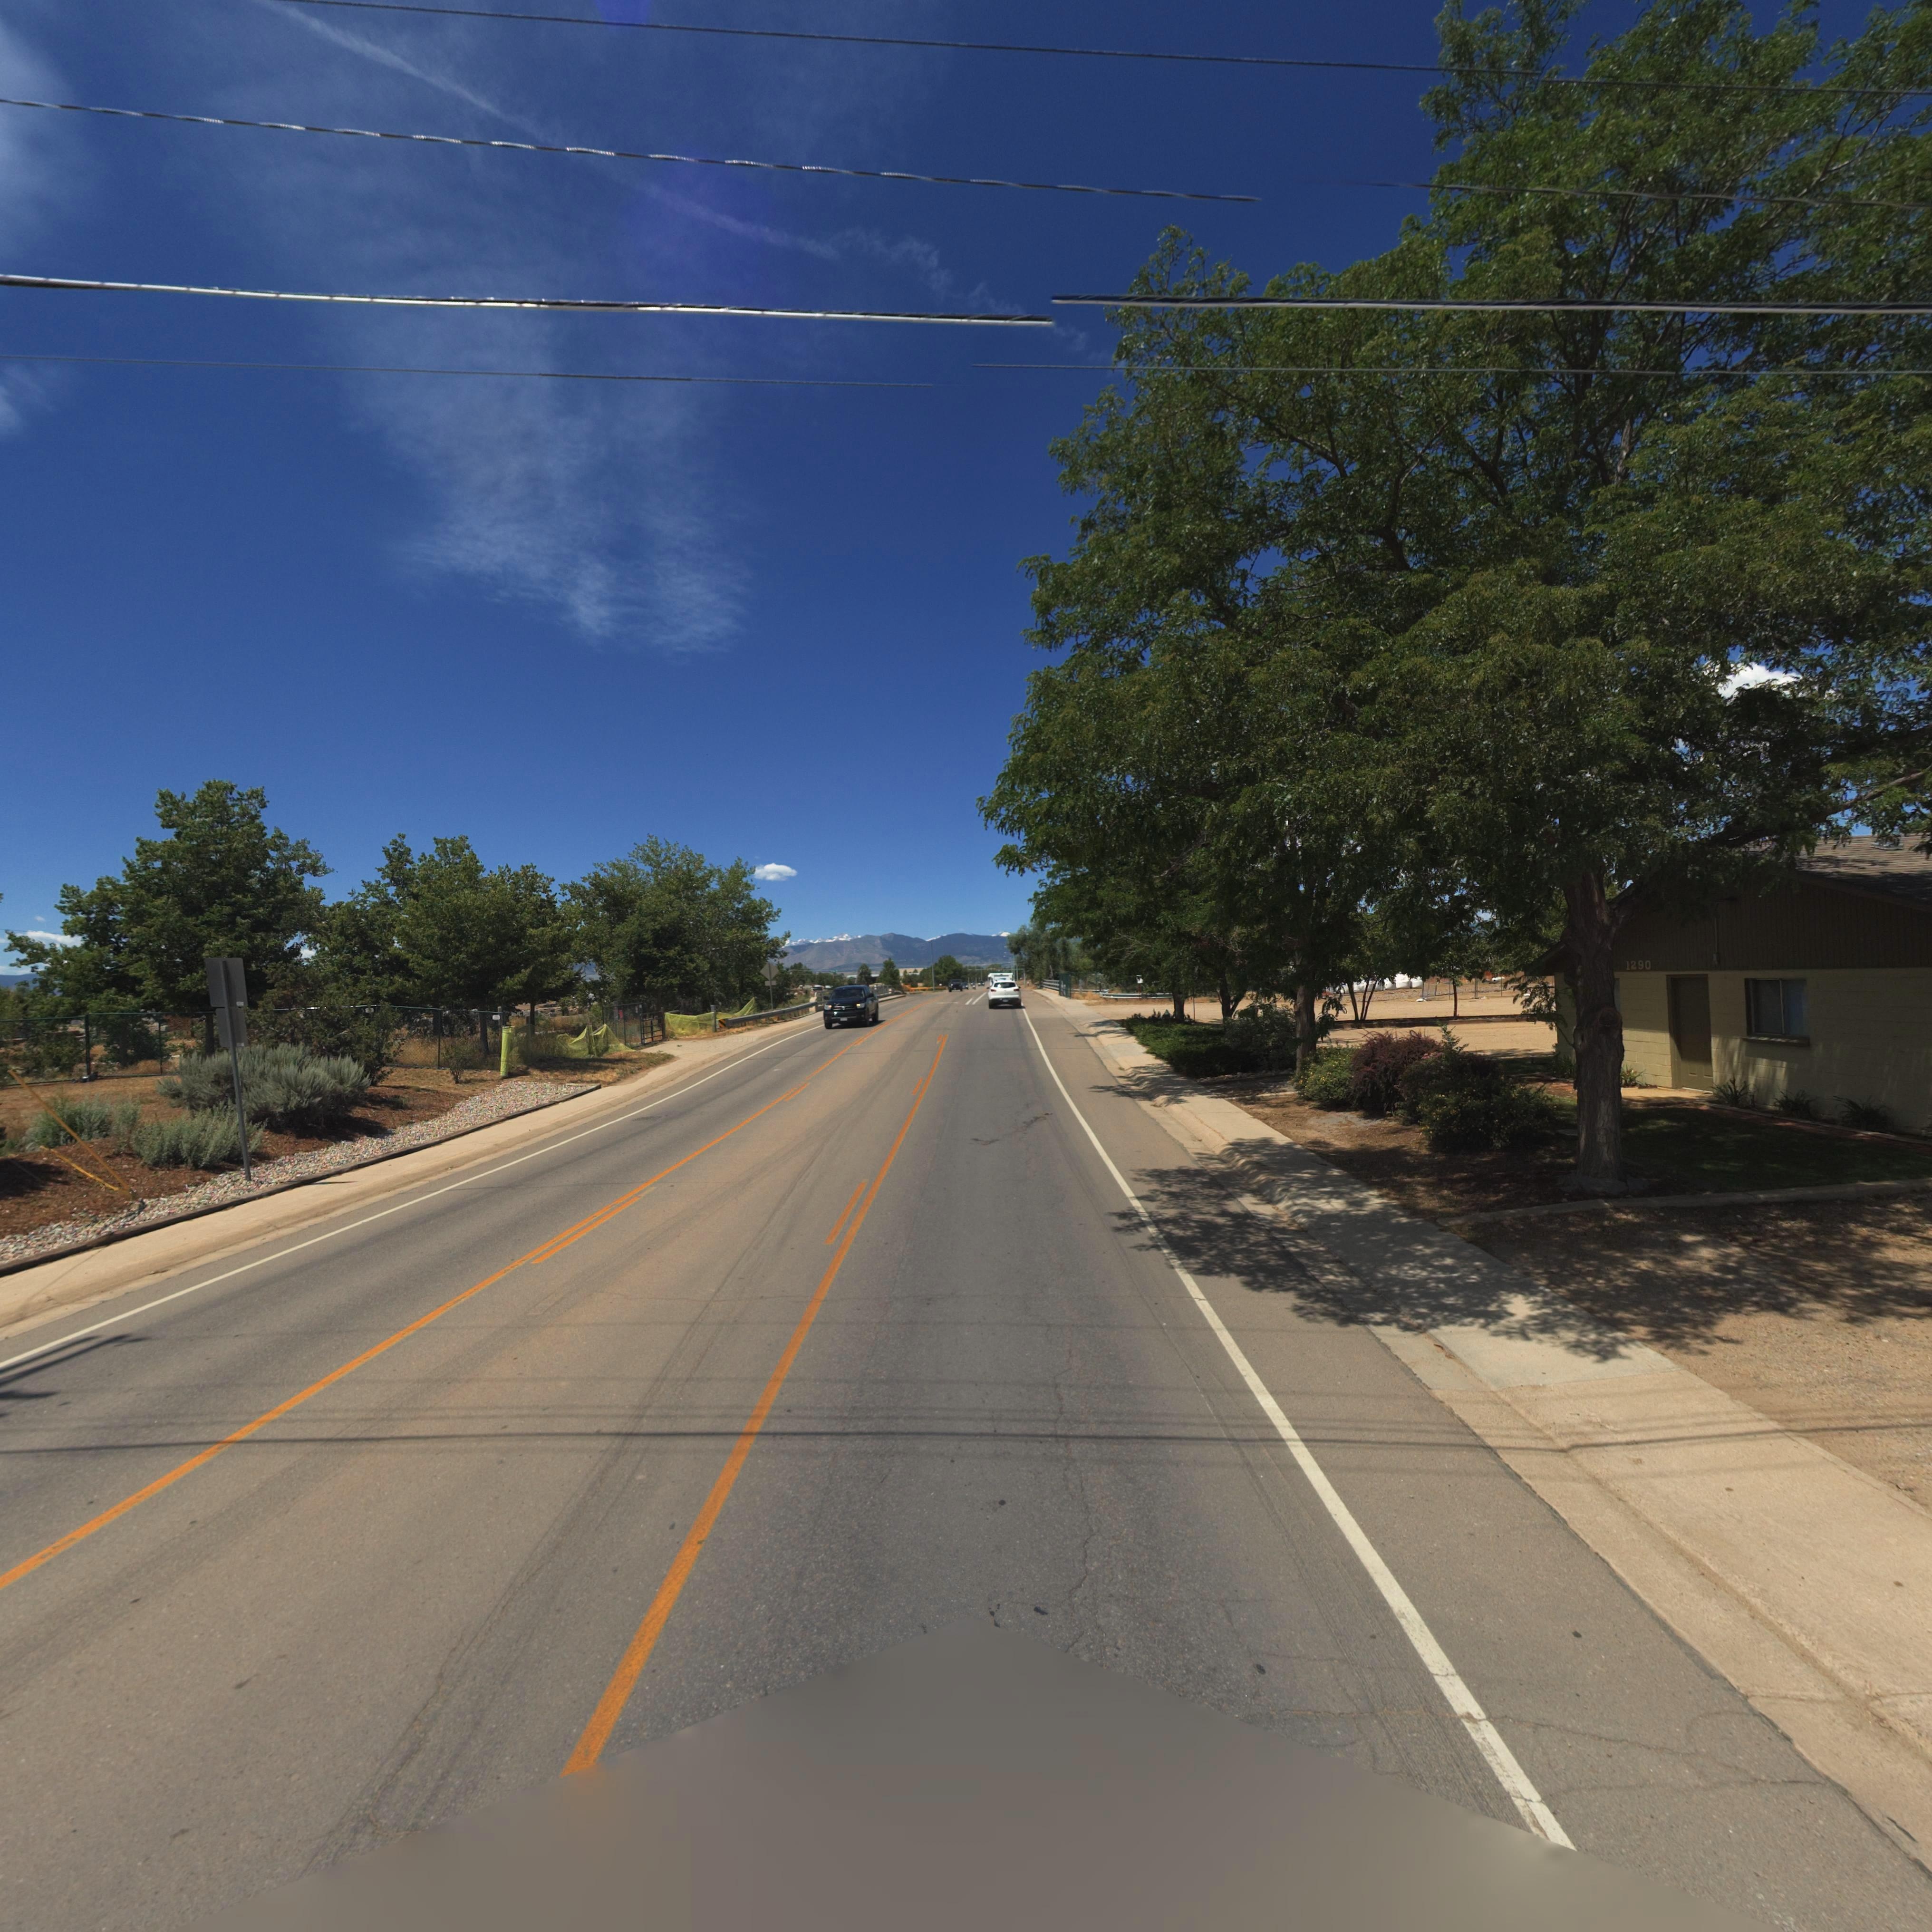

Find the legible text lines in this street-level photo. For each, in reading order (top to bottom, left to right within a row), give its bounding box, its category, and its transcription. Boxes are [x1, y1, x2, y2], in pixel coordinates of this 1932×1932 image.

[1624, 959, 1652, 971] StreetNumber: 1290